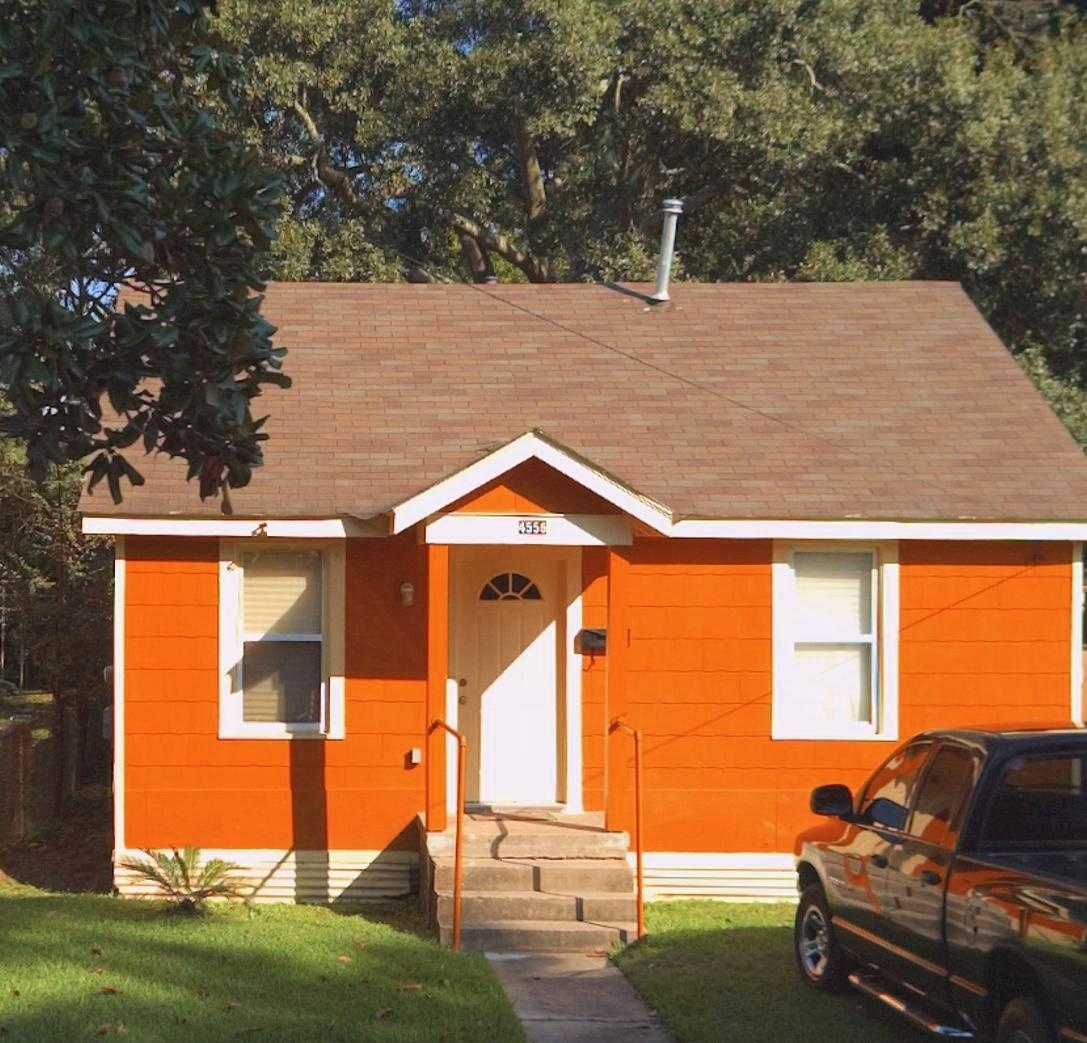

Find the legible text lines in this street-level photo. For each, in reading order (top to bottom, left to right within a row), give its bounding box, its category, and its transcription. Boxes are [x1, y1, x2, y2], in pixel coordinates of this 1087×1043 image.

[518, 521, 547, 533] StreetNumber: 4556